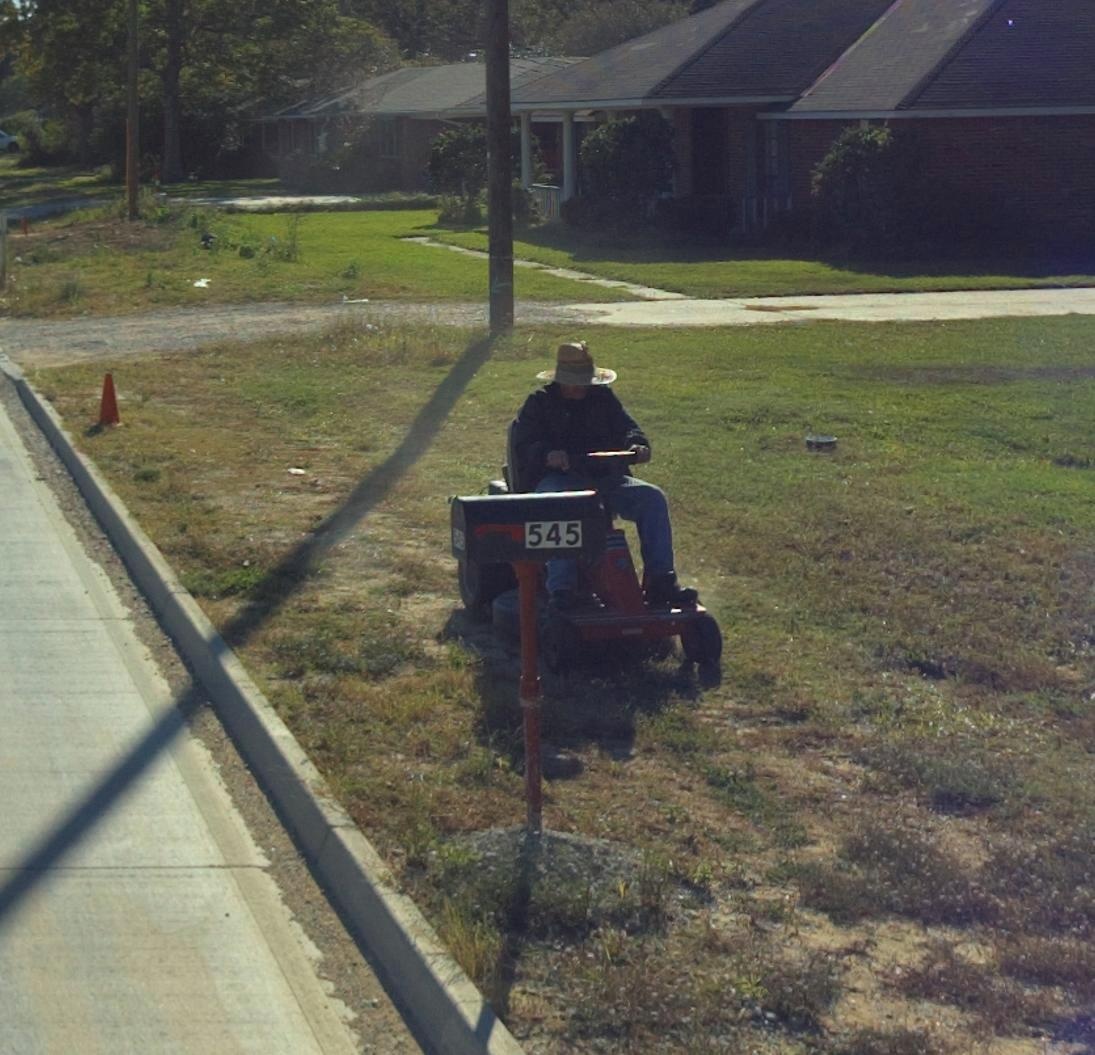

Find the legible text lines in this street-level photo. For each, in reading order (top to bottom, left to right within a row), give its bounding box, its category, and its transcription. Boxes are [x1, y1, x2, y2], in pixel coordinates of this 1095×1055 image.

[527, 523, 580, 547] StreetNumber: 545